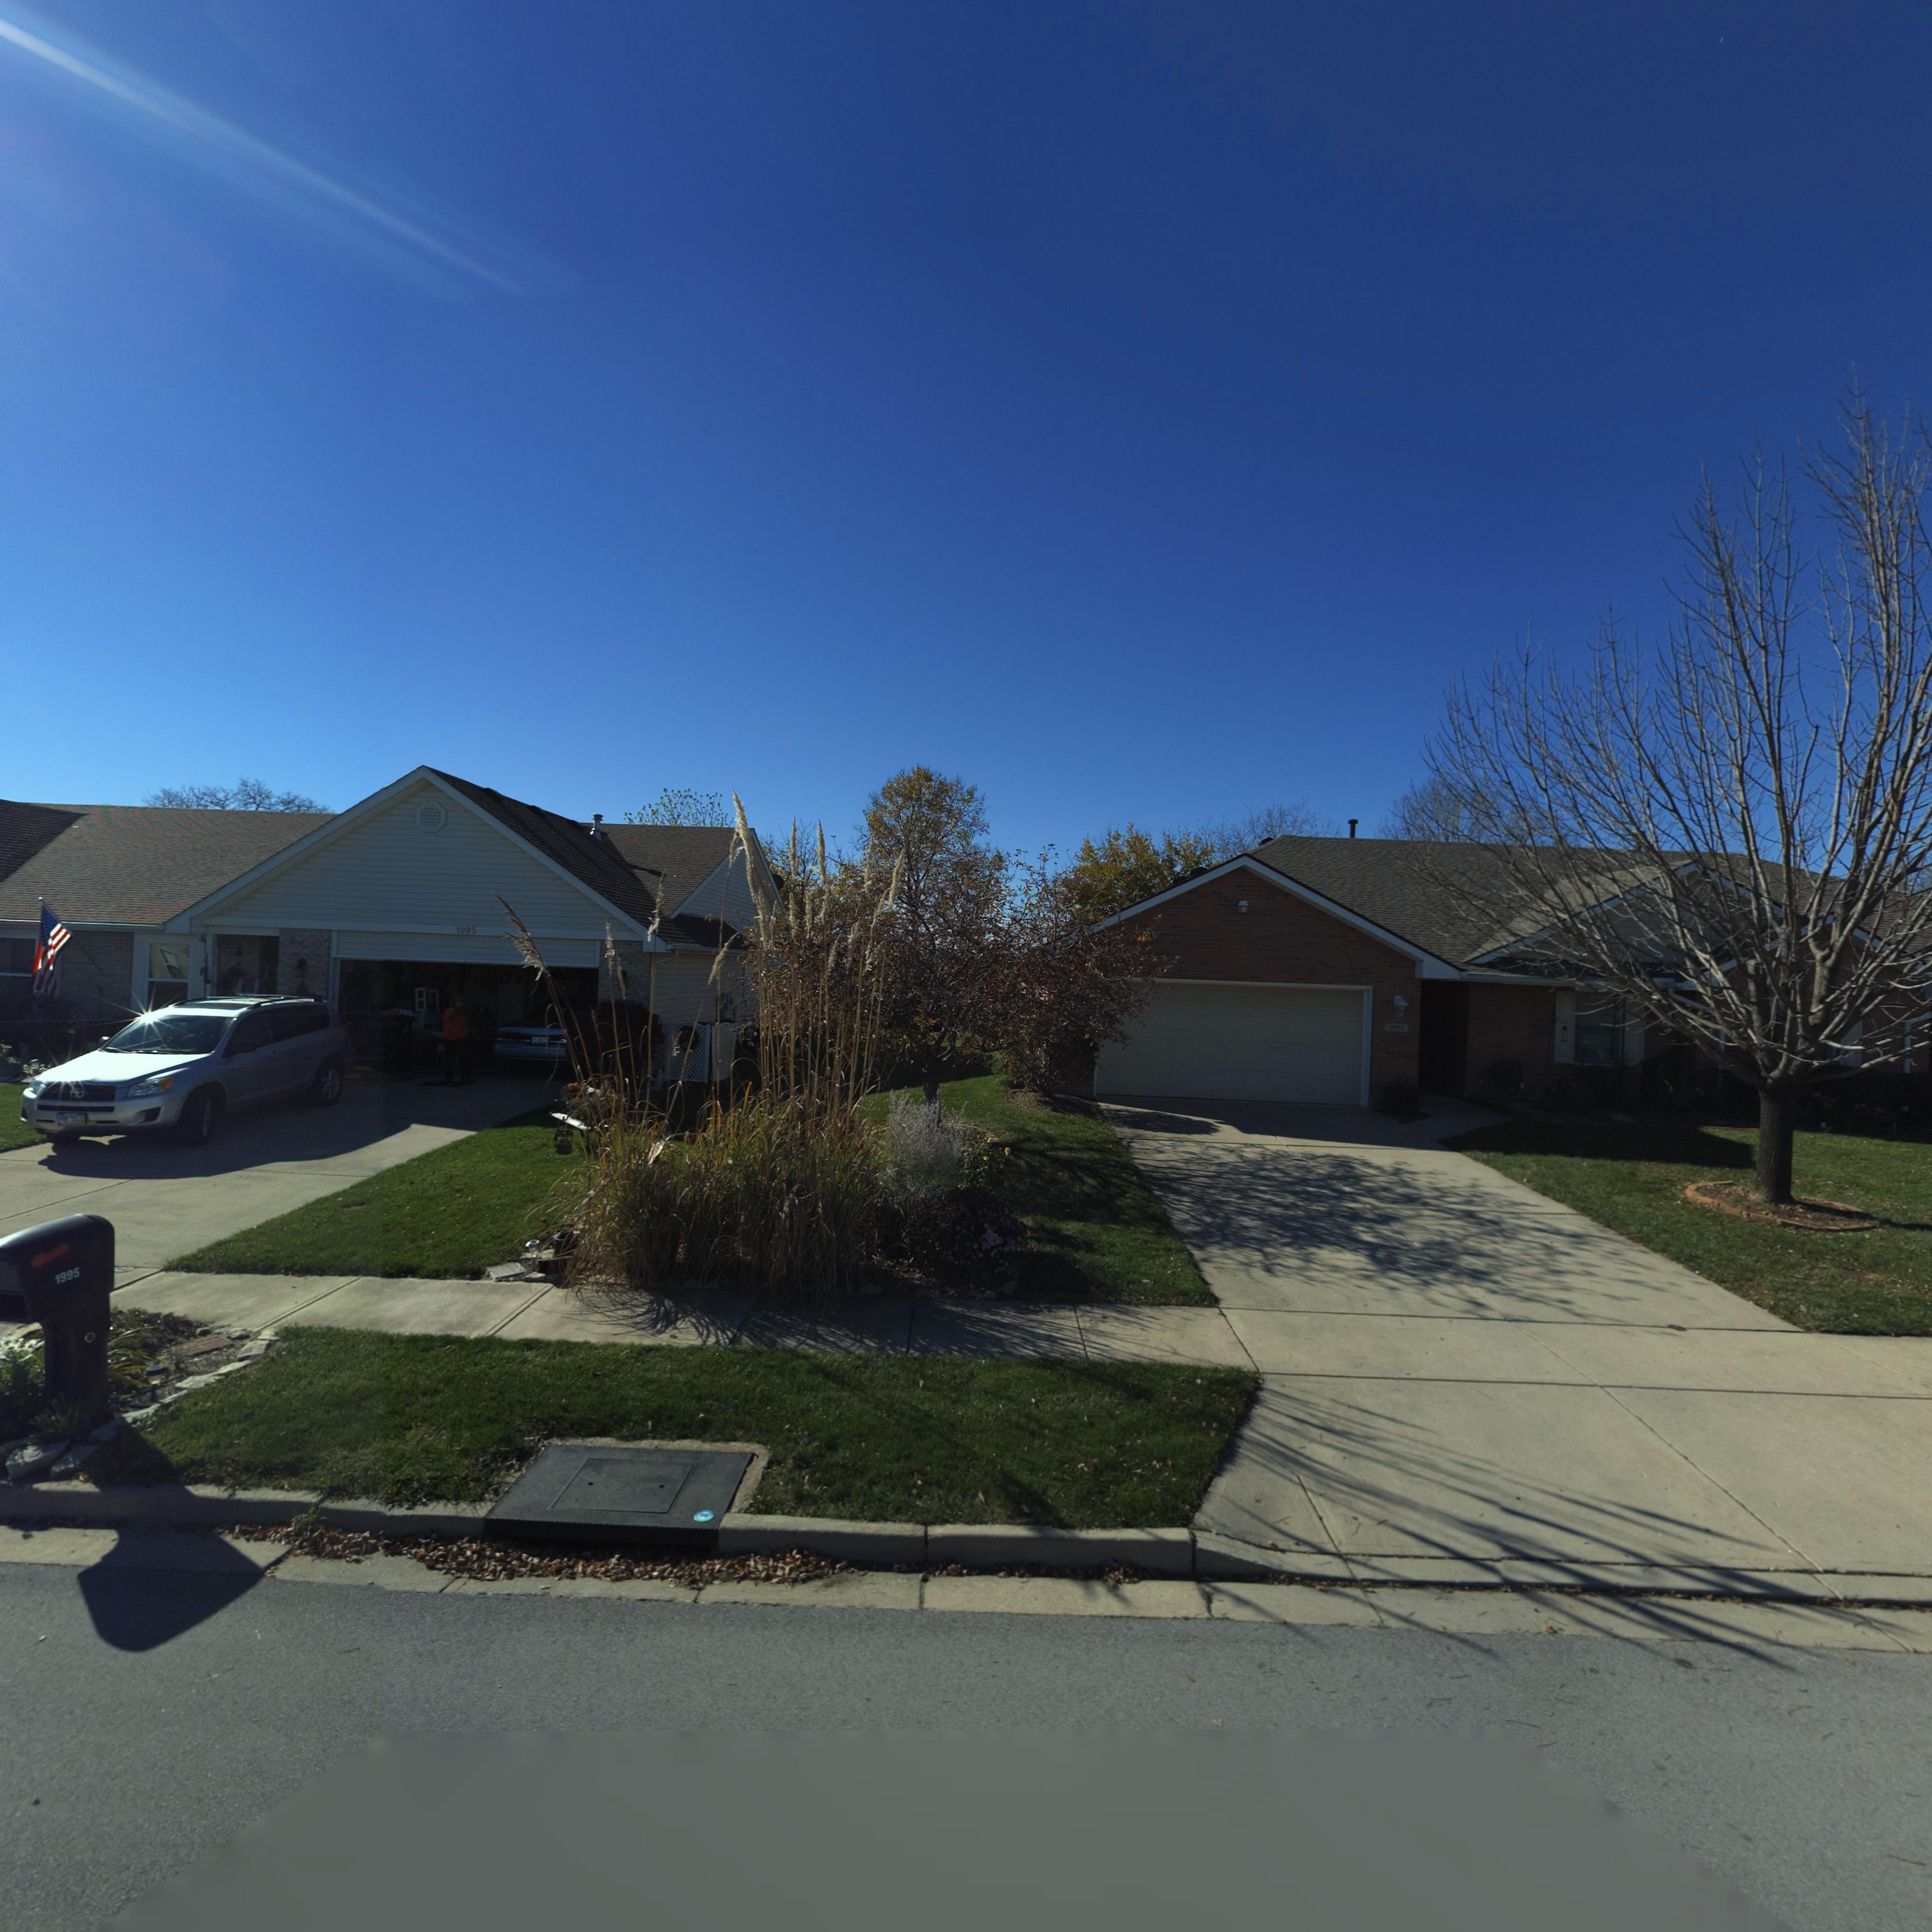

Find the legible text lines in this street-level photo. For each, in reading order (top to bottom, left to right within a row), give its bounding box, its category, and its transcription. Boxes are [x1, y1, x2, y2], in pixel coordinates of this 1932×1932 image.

[455, 926, 478, 935] StreetNumber: 1995
[1389, 1024, 1405, 1032] StreetNumber: 199*
[54, 1266, 82, 1286] StreetNumber: 1995